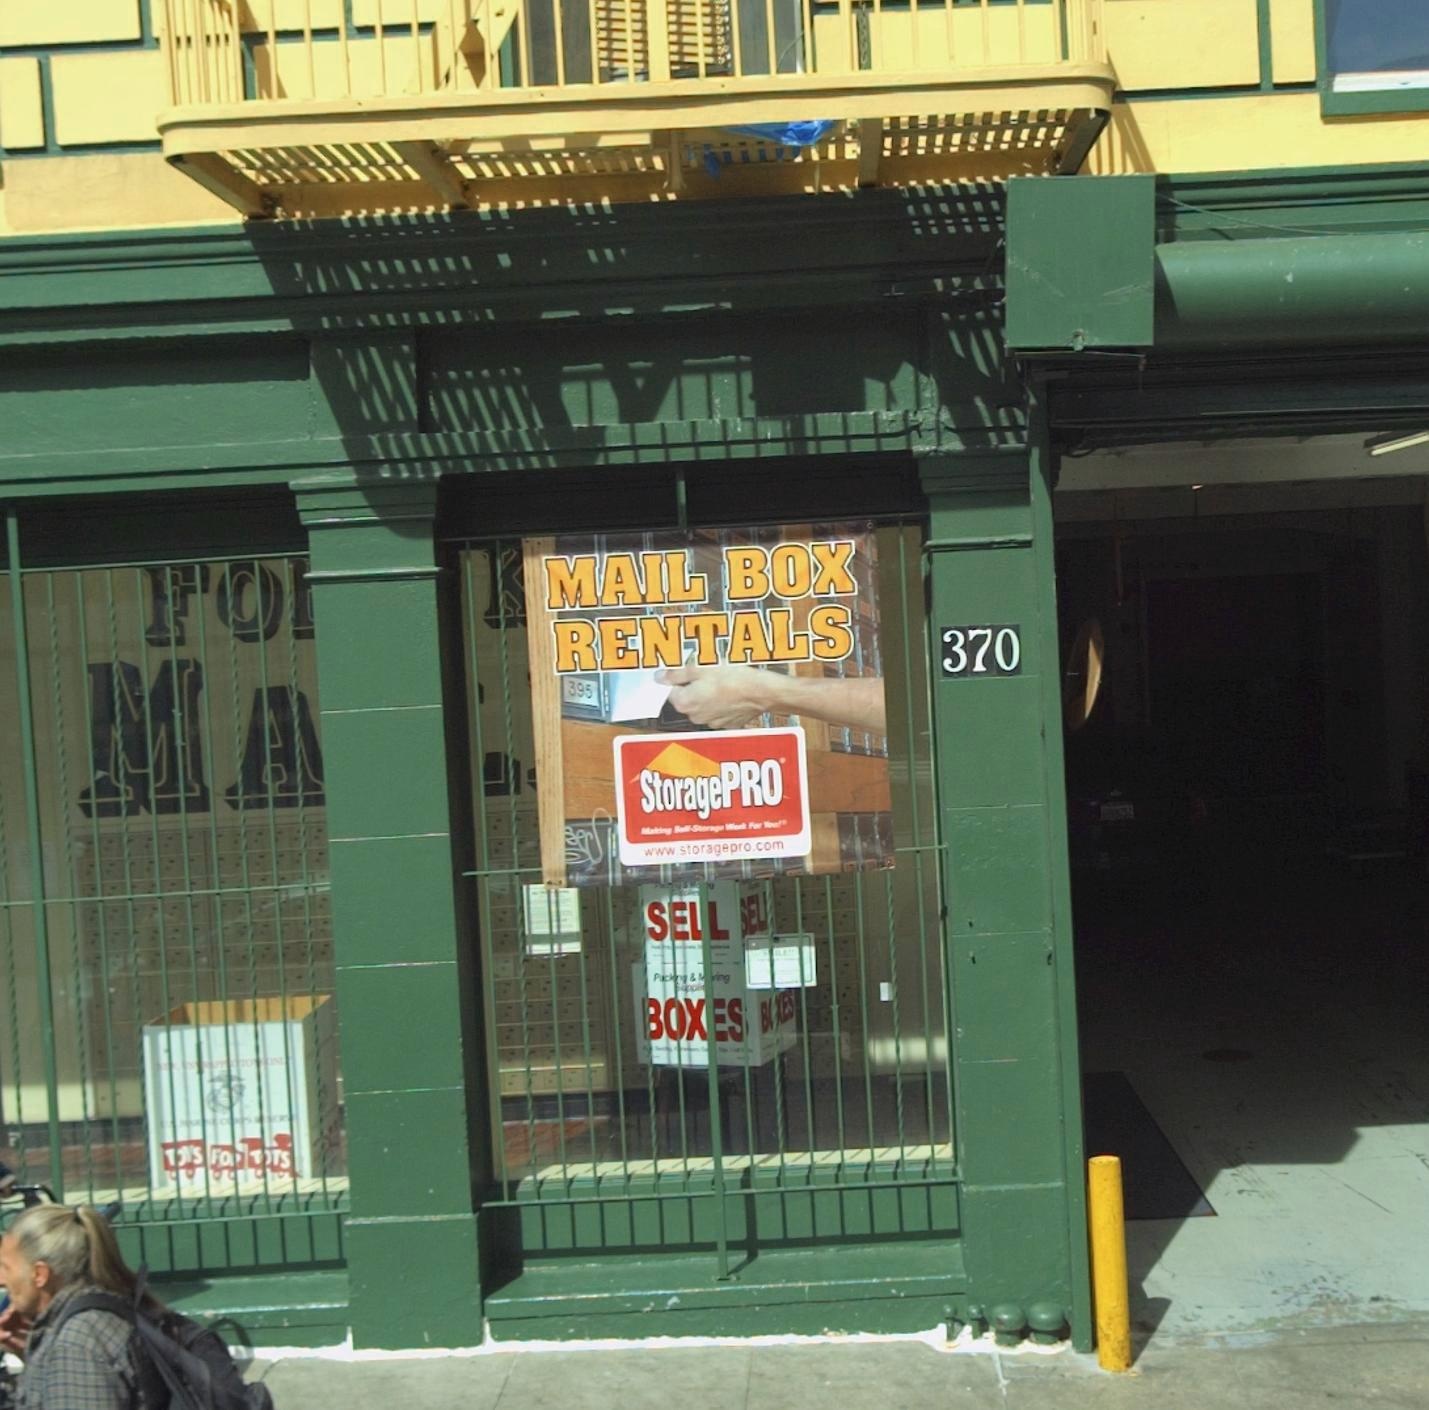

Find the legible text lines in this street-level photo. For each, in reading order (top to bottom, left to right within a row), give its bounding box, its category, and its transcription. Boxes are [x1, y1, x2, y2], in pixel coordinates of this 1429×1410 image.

[541, 538, 859, 611] BusinessName: MAIL BOX
[136, 554, 287, 646] None: FO
[551, 604, 854, 674] BusinessName: RENTALS
[941, 625, 1022, 674] StreetNumber: 370
[566, 677, 595, 702] None: 395
[68, 650, 331, 813] None: MA
[634, 756, 785, 822] None: StoragePRO
[642, 839, 785, 859] None: www.storagepro.com
[644, 898, 732, 944] None: SE*L
[743, 890, 769, 940] None: EL
[637, 995, 752, 1044] None: *OX**
[758, 983, 797, 1039] None: B*XES
[161, 1141, 296, 1173] None: T*YS FO* T*TS